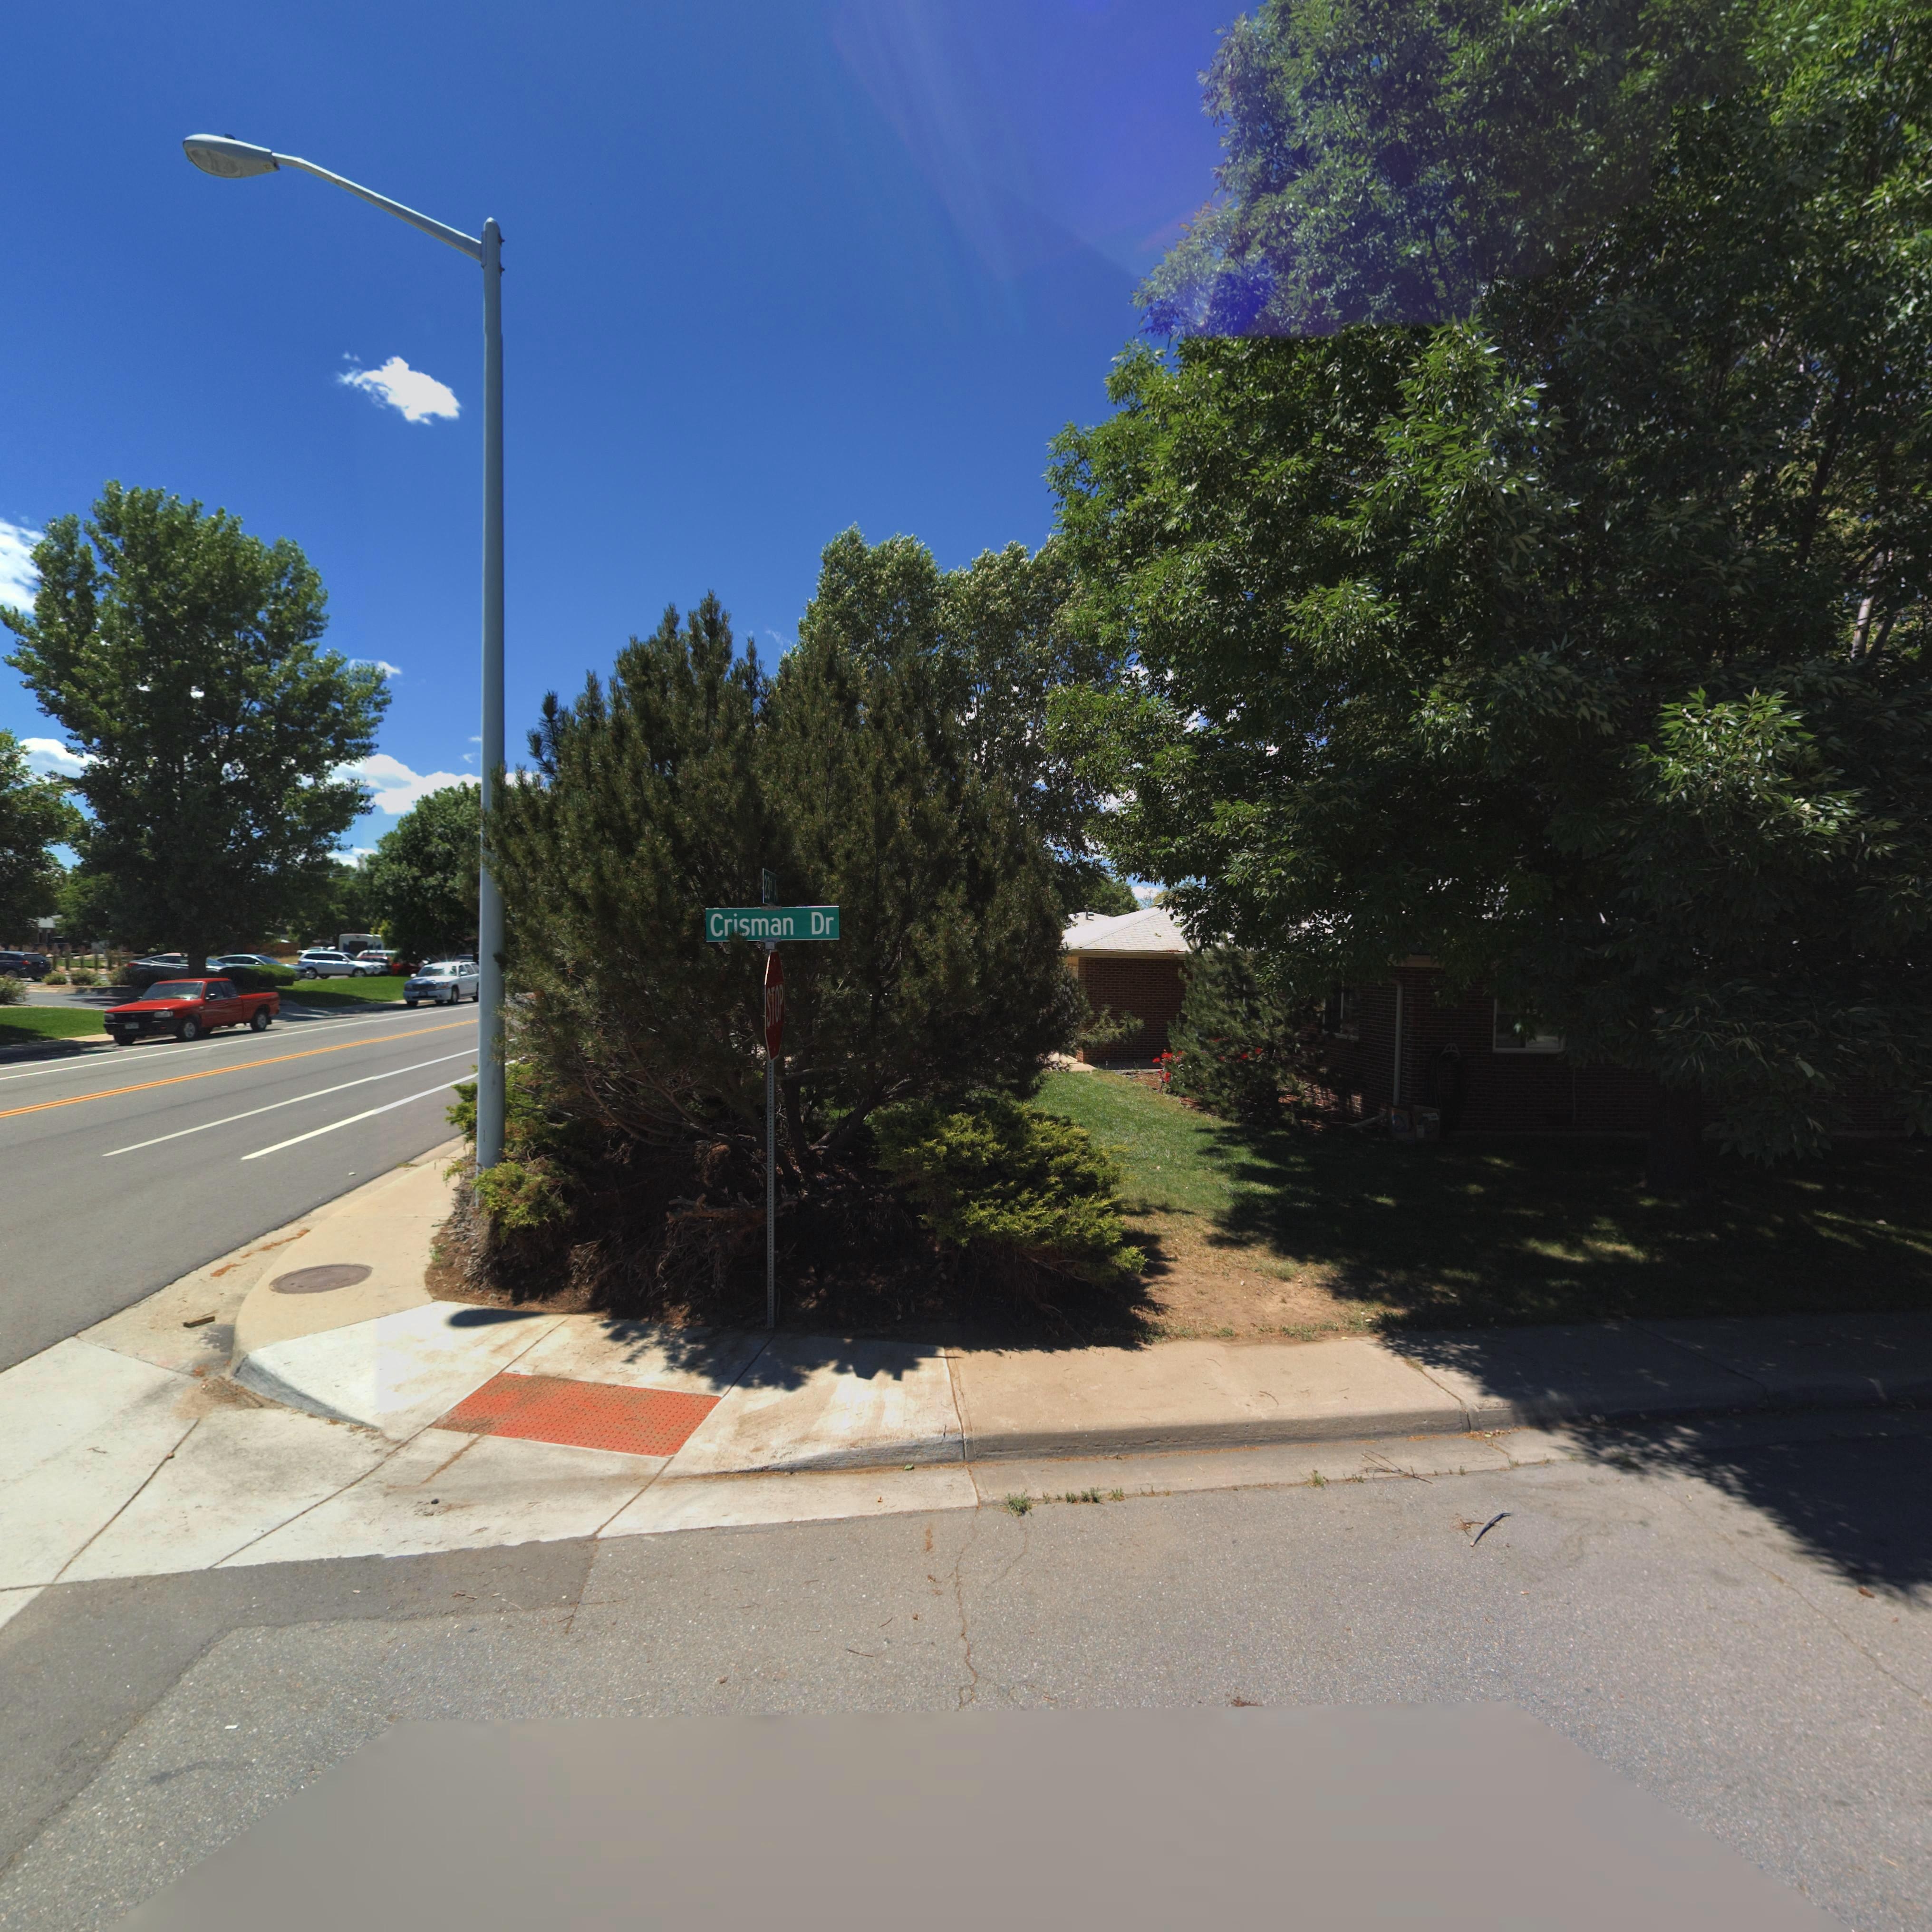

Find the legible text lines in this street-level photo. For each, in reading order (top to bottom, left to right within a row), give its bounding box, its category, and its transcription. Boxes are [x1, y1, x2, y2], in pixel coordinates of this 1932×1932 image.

[764, 874, 779, 901] BusinessName: 23RD A*
[709, 910, 835, 938] StreetName: Chrisman Dr